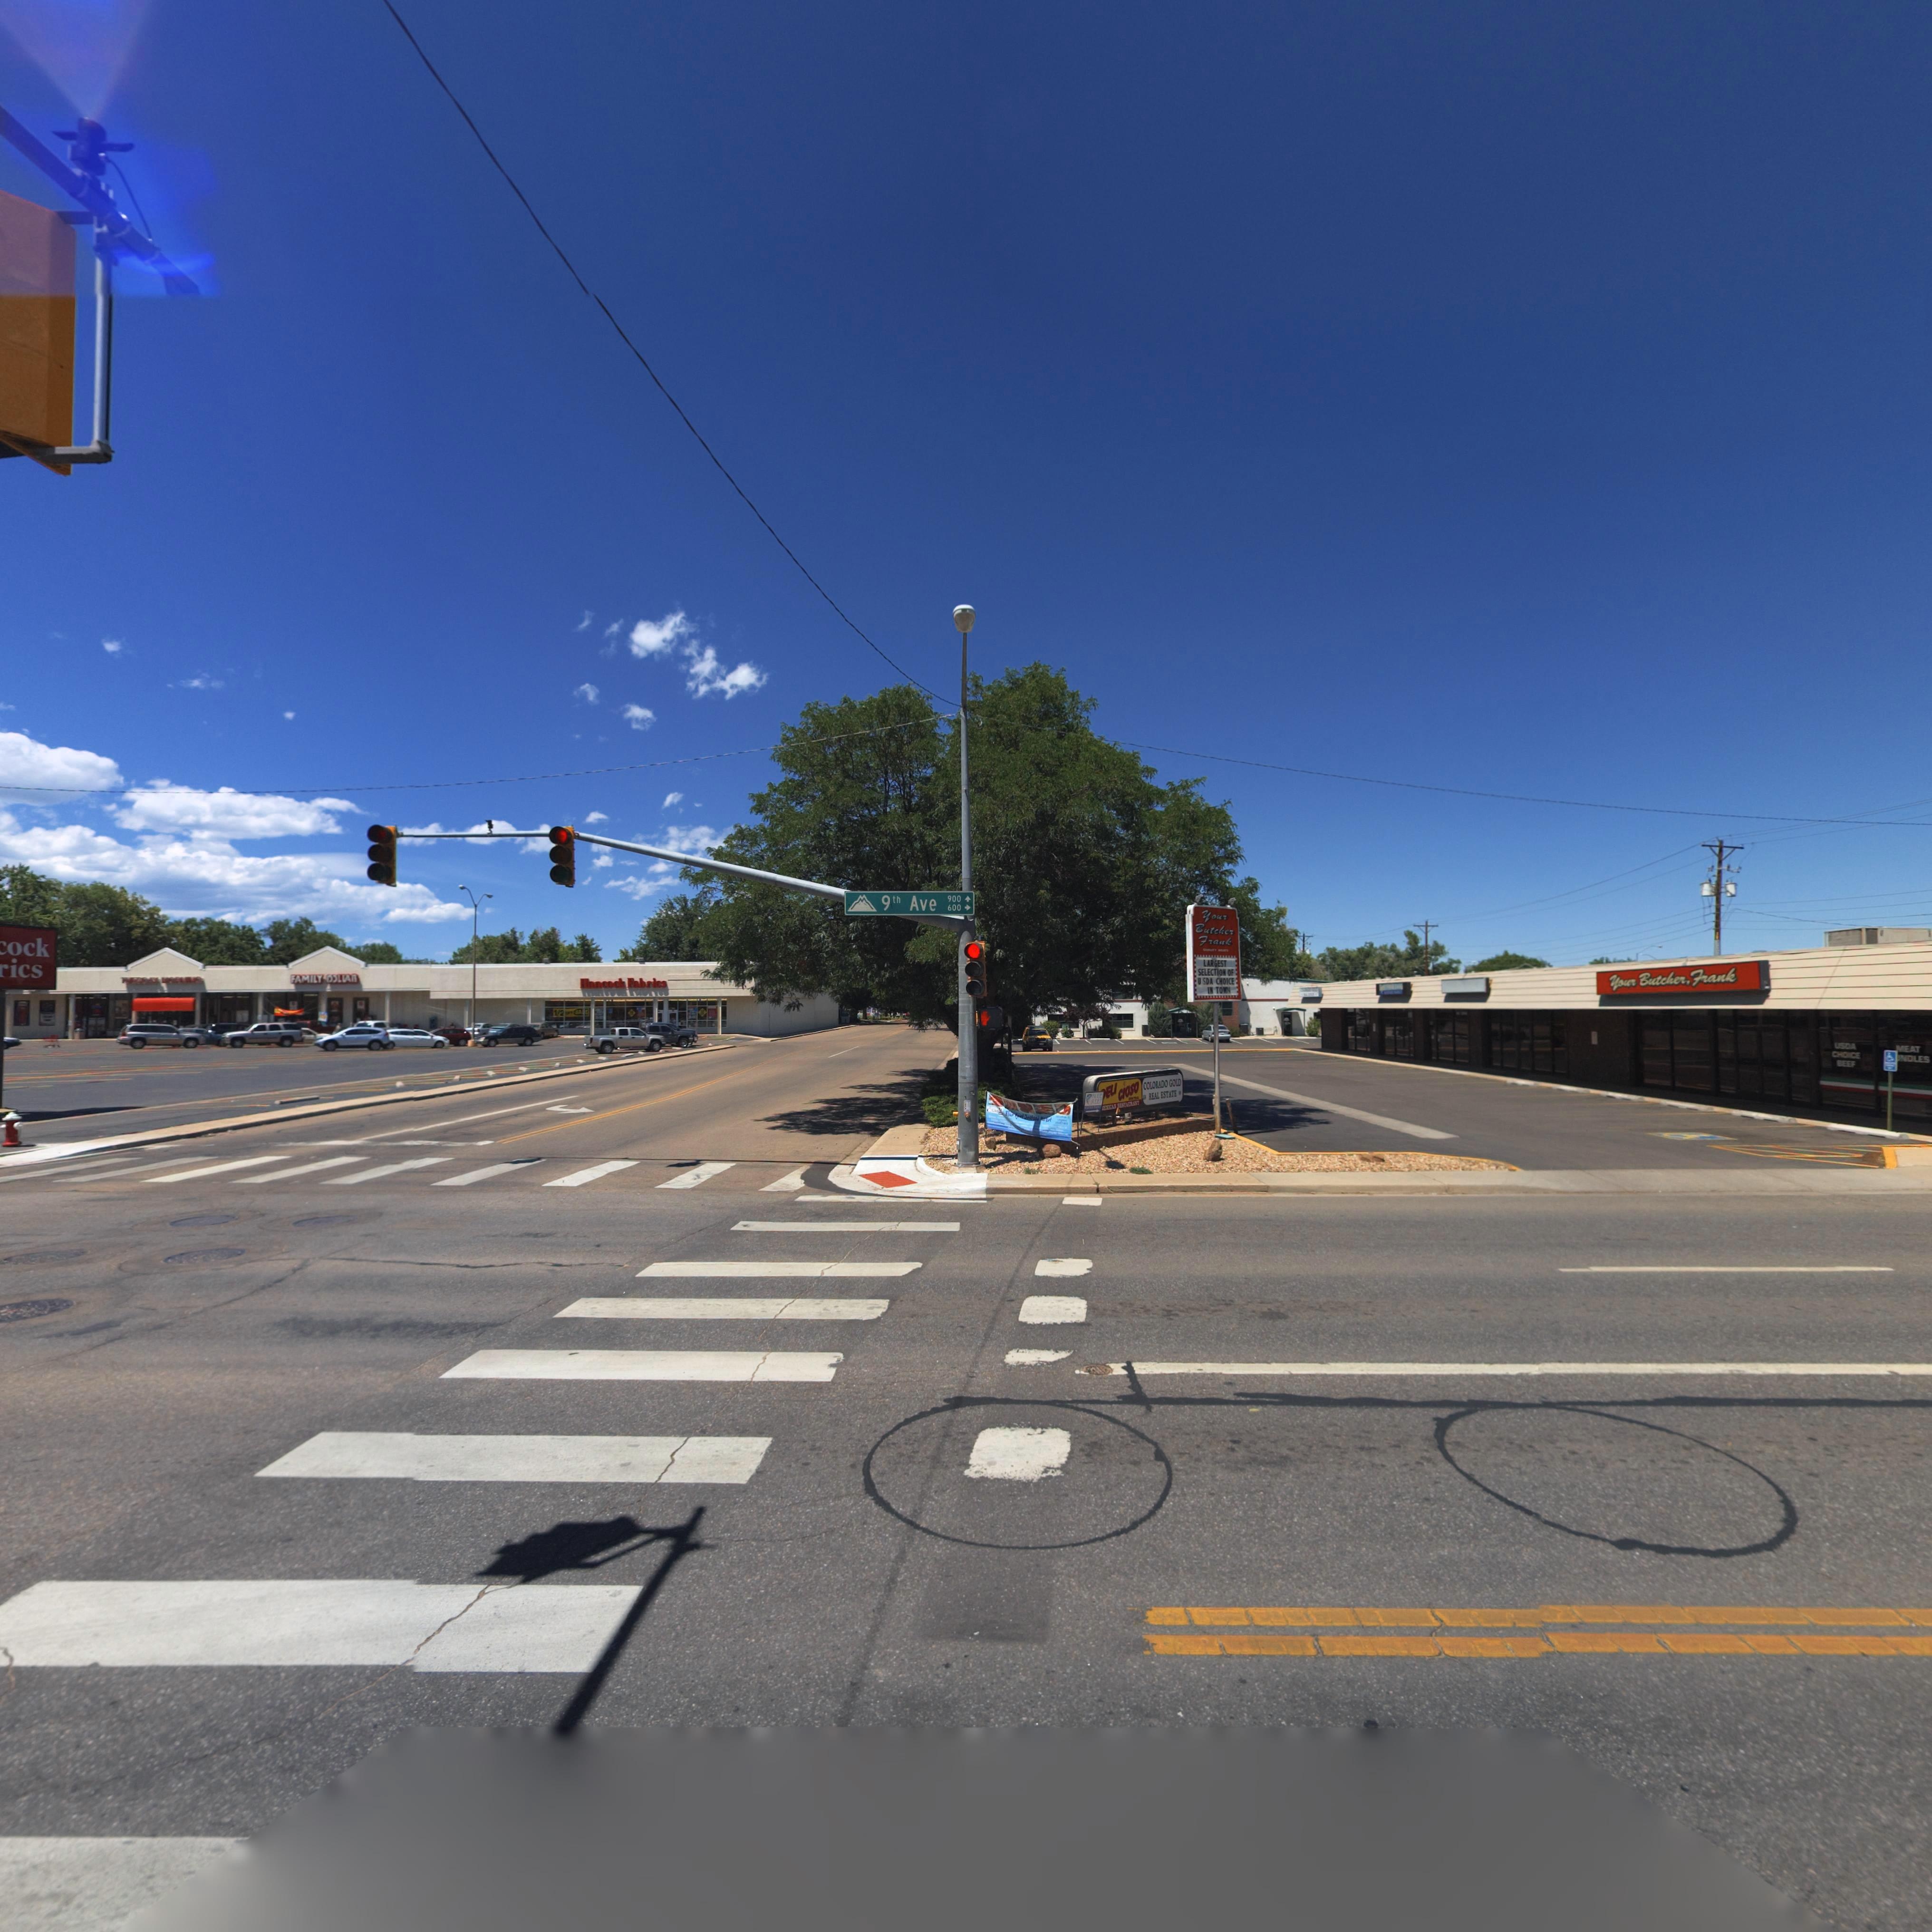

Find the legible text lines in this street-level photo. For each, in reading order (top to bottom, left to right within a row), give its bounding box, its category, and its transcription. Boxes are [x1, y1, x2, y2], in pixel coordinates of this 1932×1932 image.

[880, 895, 937, 911] StreetName: 9th Ave
[947, 895, 961, 902] StreetNumberRange: 900
[947, 904, 971, 911] StreetNumberRange: 600->
[1201, 908, 1227, 923] BusinessName: Your
[1195, 922, 1234, 935] BusinessName: Butcher
[1198, 935, 1233, 947] BusinessName: Frank
[7, 937, 50, 957] BusinessName: ock
[9, 957, 43, 978] BusinessName: ics
[290, 973, 358, 984] BusinessName: FAMILY DOLLAR
[580, 976, 667, 988] BusinessName: Hancock Fabrics
[1607, 966, 1739, 993] BusinessName: Your Butcher, Frank
[1143, 1078, 1181, 1090] BusinessName: COLORADO GOLD
[1091, 1099, 1102, 1104] BusinessName: REEF
[1092, 1092, 1102, 1099] BusinessName: BLUE
[1105, 1082, 1117, 1099] BusinessName: ELI
[1103, 1100, 1140, 1111] BusinessName: EXICAN RESTAURANT
[1117, 1081, 1139, 1101] BusinessName: CIOSO
[1149, 1090, 1177, 1100] BusinessName: REAL ESTATE